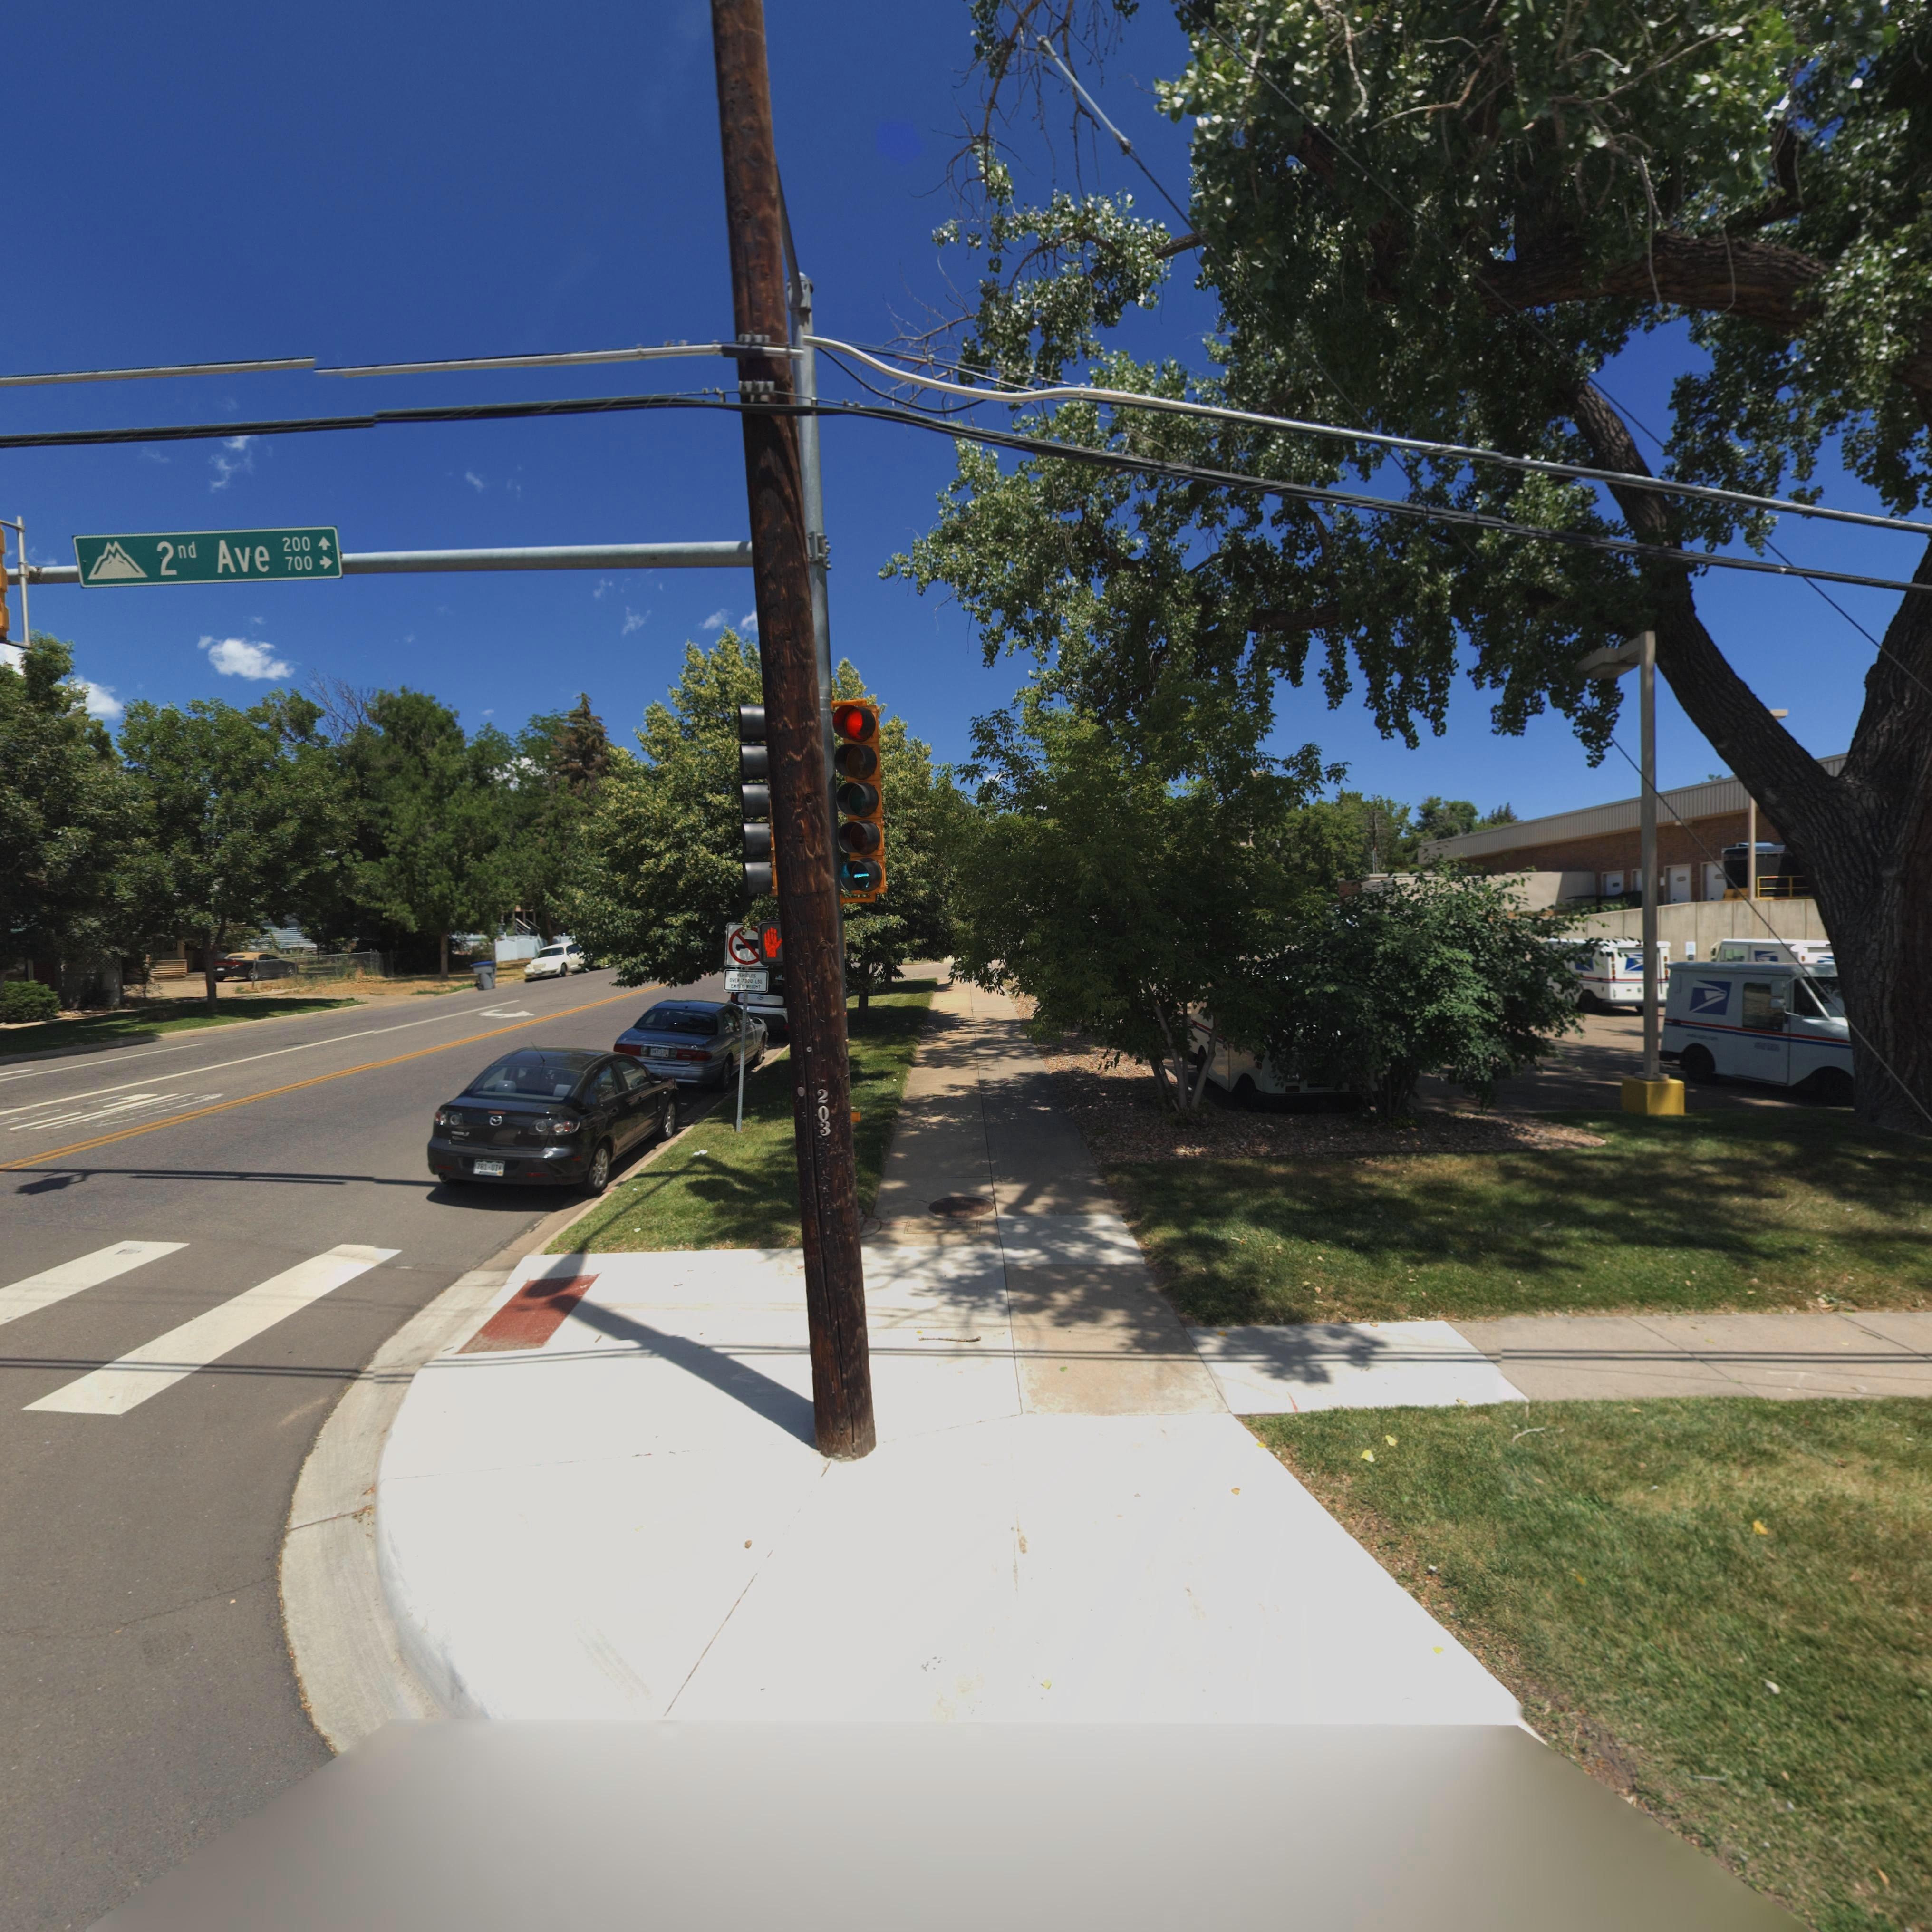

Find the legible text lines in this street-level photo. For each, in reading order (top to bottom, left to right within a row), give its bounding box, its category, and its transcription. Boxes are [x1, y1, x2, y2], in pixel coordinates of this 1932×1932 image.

[282, 536, 311, 552] StreetNumberRange: 200
[155, 538, 271, 576] StreetName: 2nd Ave
[284, 554, 335, 571] StreetNumberRange: 700->